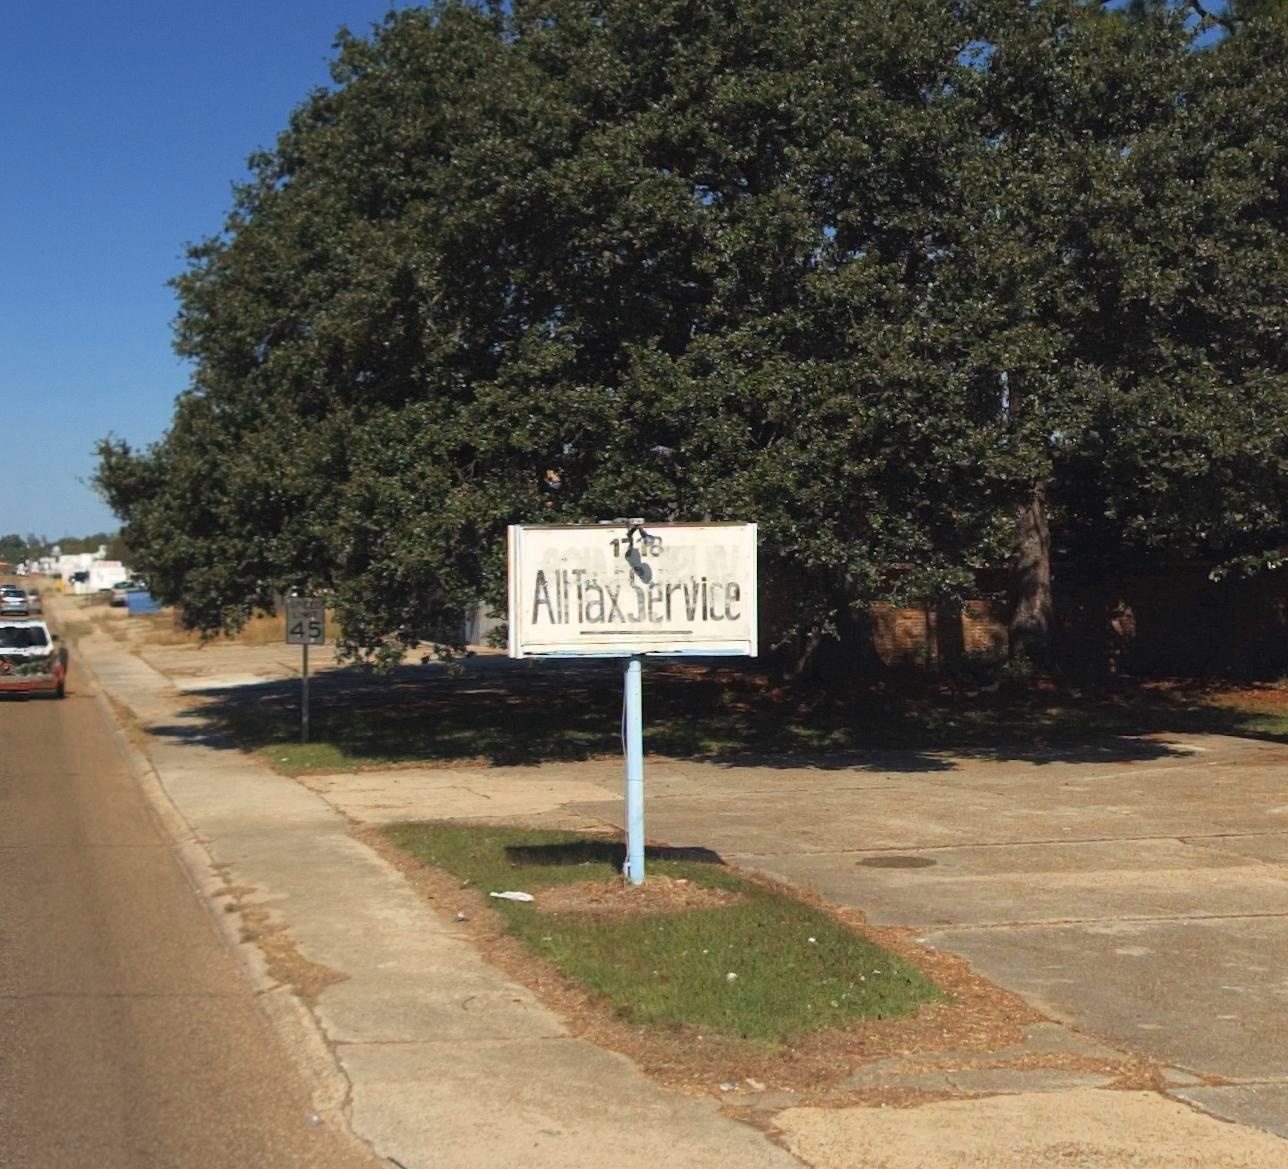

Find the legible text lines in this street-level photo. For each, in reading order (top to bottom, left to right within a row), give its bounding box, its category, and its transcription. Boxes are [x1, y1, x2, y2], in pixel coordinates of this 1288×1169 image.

[605, 533, 667, 561] StreetNumber: 17**
[528, 564, 745, 628] None: All Tax Service
[291, 610, 301, 621] None: L
[287, 618, 324, 641] None: 45